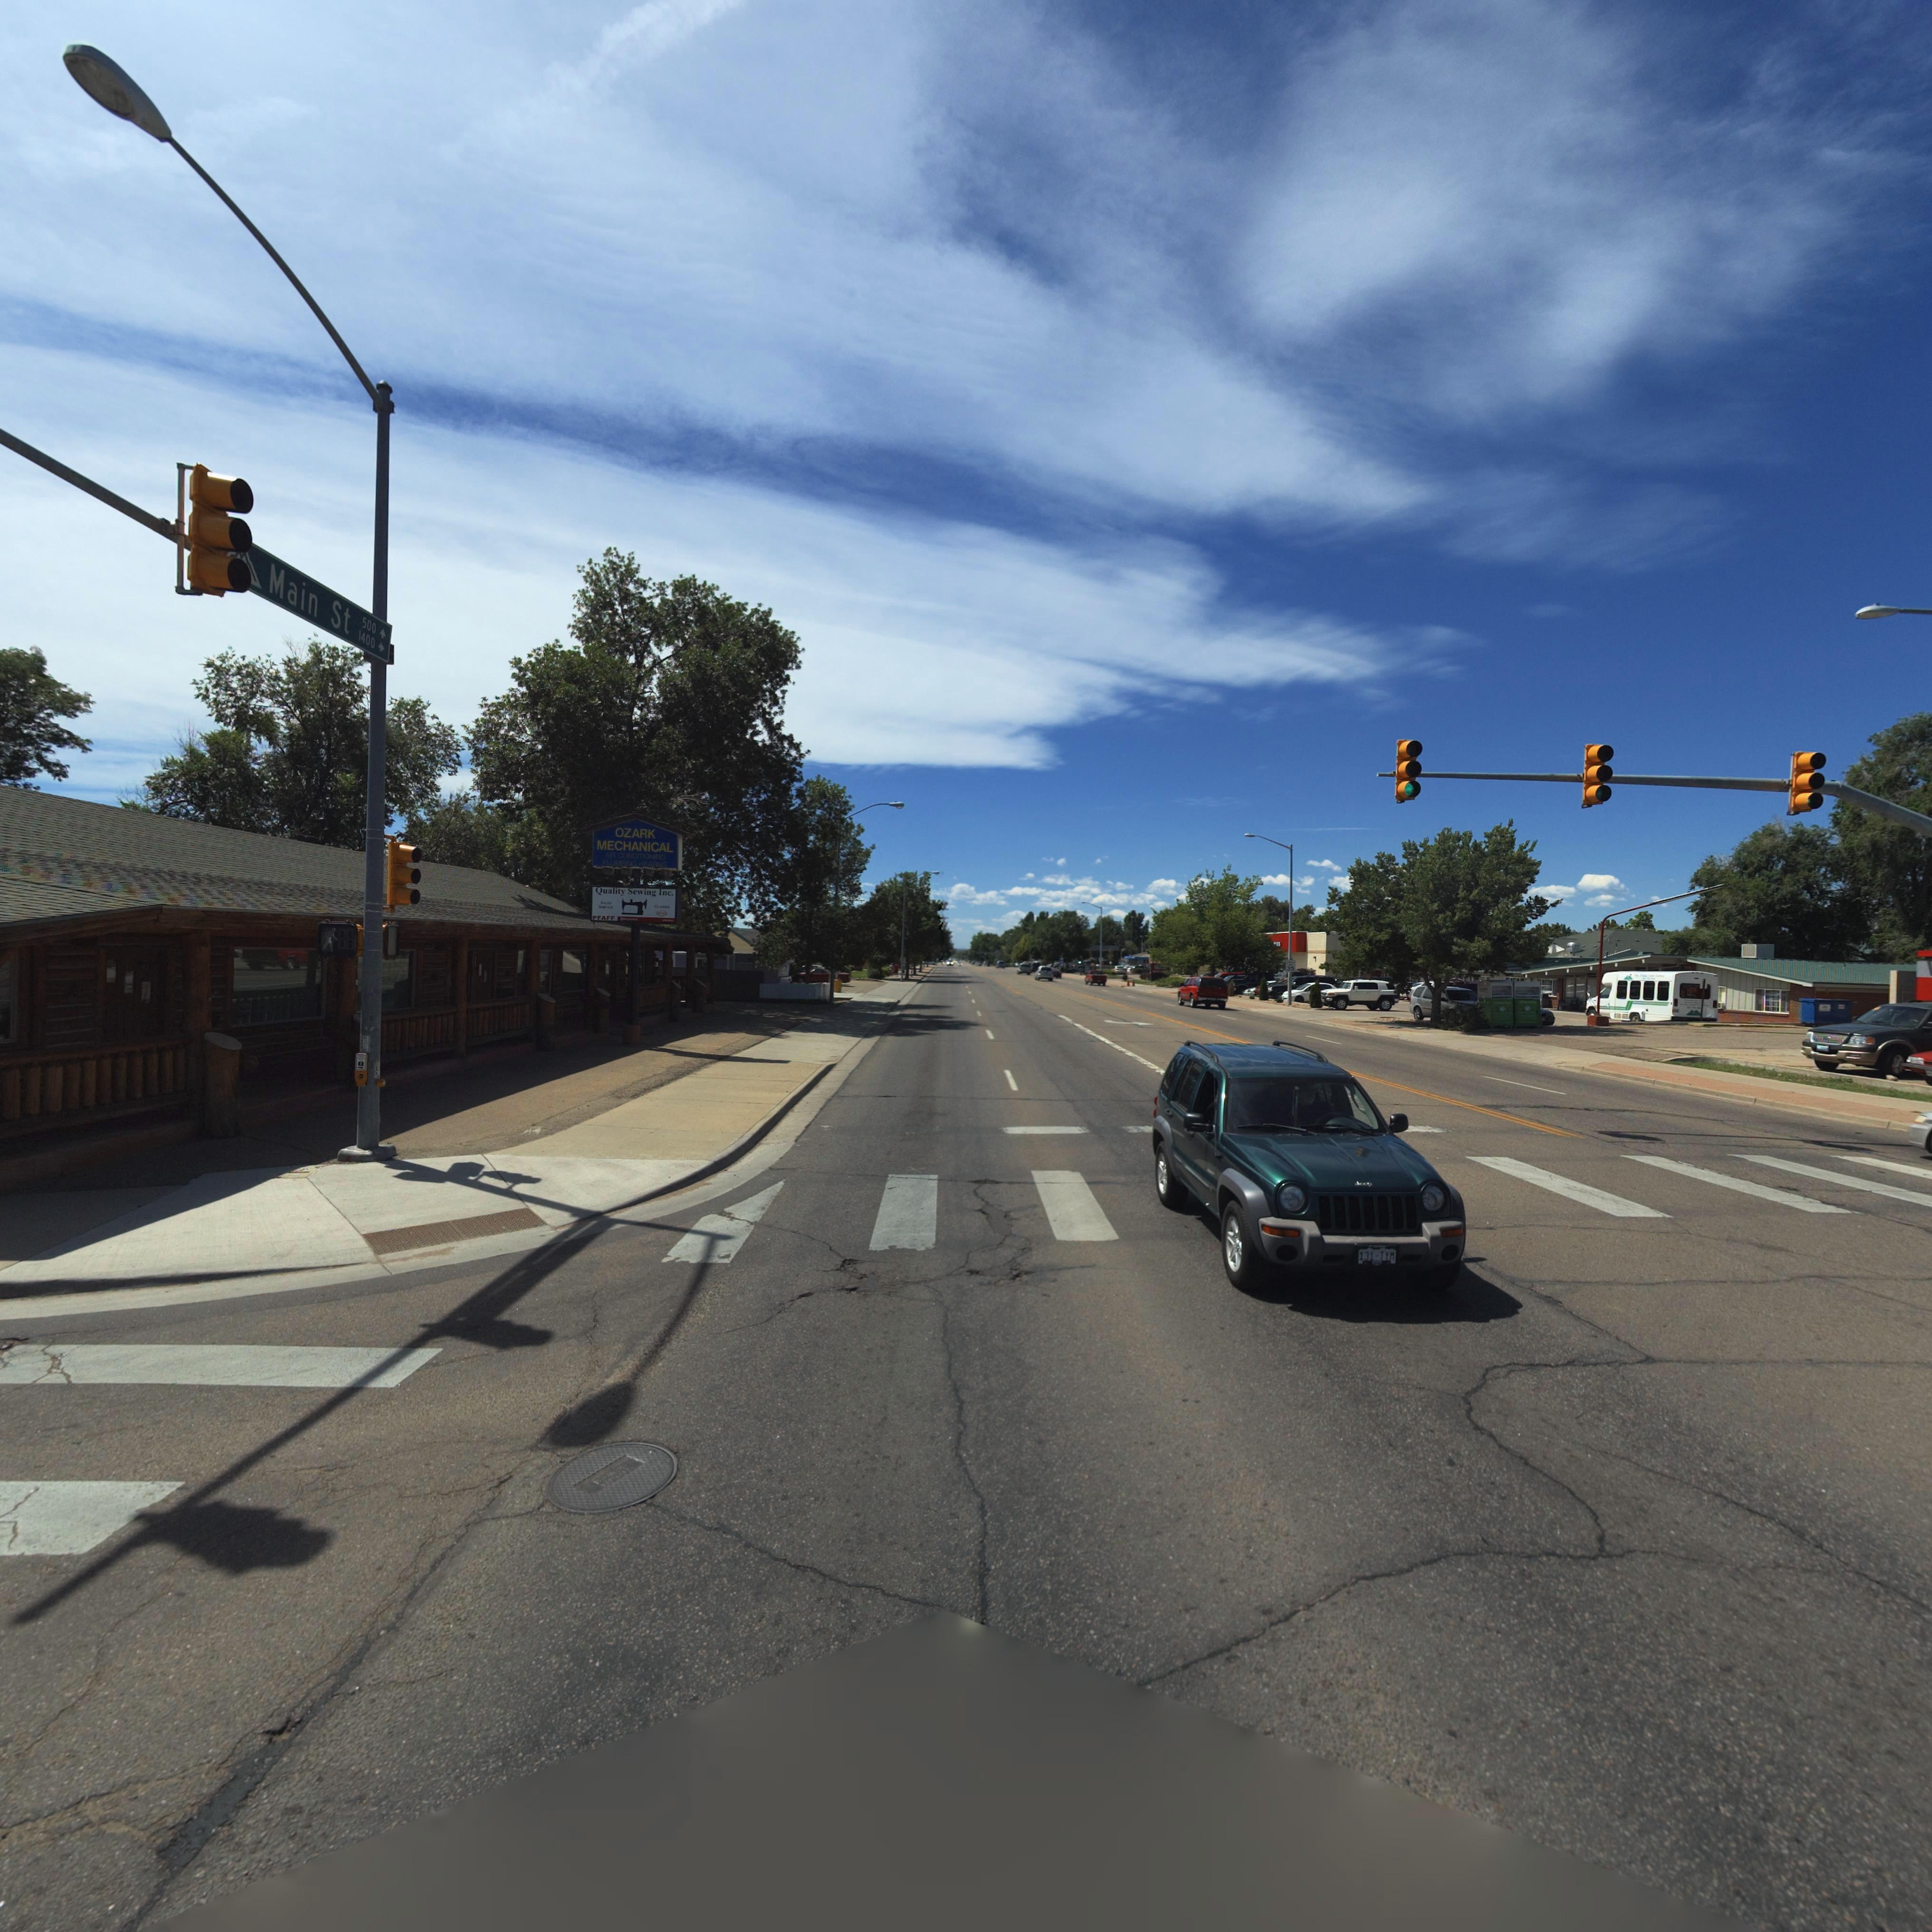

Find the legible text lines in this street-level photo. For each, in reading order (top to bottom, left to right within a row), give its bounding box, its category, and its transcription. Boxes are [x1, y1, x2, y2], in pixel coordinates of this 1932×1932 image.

[268, 561, 351, 636] StreetName: Main St
[361, 616, 377, 635] StreetNumberRange: 500
[358, 629, 386, 652] StreetNumberRange: 1400->
[614, 827, 656, 839] BusinessName: OZARK
[596, 839, 674, 853] BusinessName: MECHANICAL
[595, 886, 672, 898] BusinessName: Quality Sweing Inc